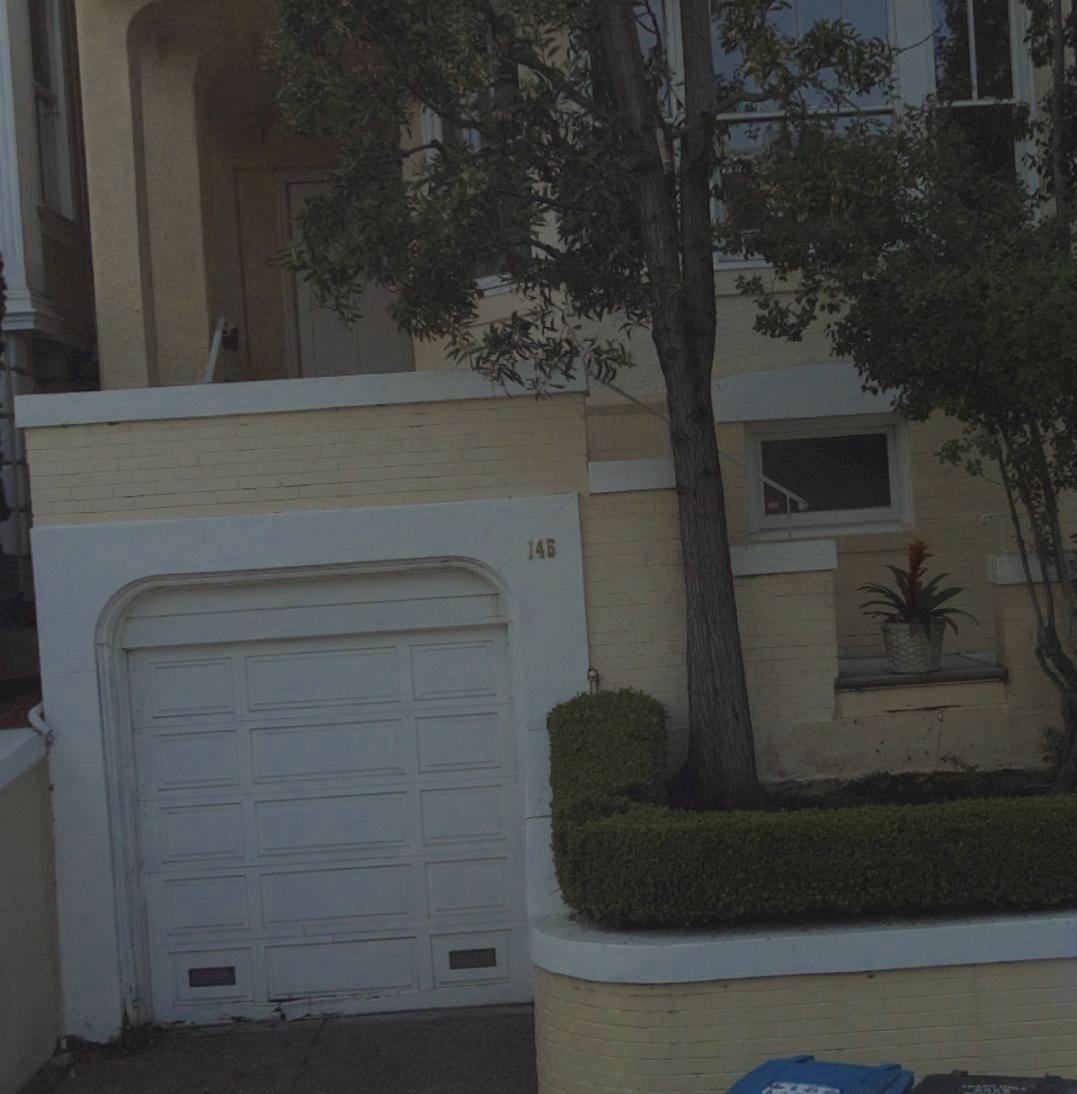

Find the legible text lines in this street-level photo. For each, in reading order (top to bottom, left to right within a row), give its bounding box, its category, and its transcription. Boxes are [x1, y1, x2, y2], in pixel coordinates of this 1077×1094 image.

[526, 537, 557, 561] StreetNumber: 145